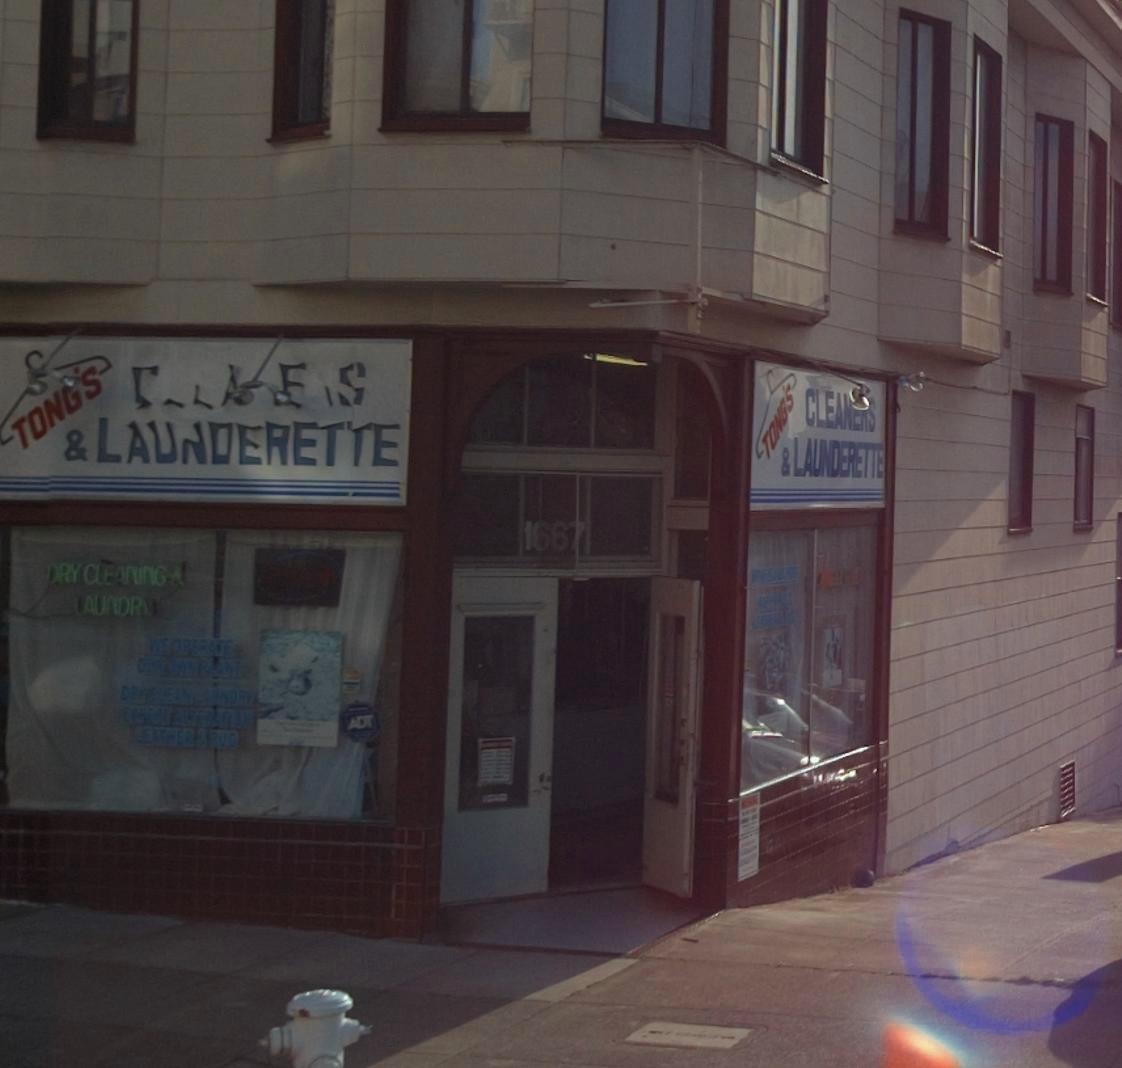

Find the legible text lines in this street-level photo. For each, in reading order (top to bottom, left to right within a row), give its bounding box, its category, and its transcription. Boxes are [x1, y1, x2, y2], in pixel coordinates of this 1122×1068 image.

[277, 359, 368, 411] BusinessName: ES
[8, 357, 108, 456] BusinessName: TONG'S
[759, 379, 796, 462] BusinessName: TONG'S
[804, 385, 877, 434] BusinessName: CLEANERS
[62, 414, 404, 469] BusinessName: & LAUNDERETTE
[780, 436, 885, 480] BusinessName: & LAUNDERETTE
[521, 517, 587, 554] StreetNumber: 1667
[42, 561, 167, 590] None: DRY CLEANING
[72, 593, 155, 619] None: LAUNDRY
[146, 635, 237, 660] None: WE OPERATE
[135, 655, 246, 681] None: OUR OWN P*ANT
[133, 723, 241, 750] None: LEATHER & RUG
[346, 714, 374, 730] None: ADT